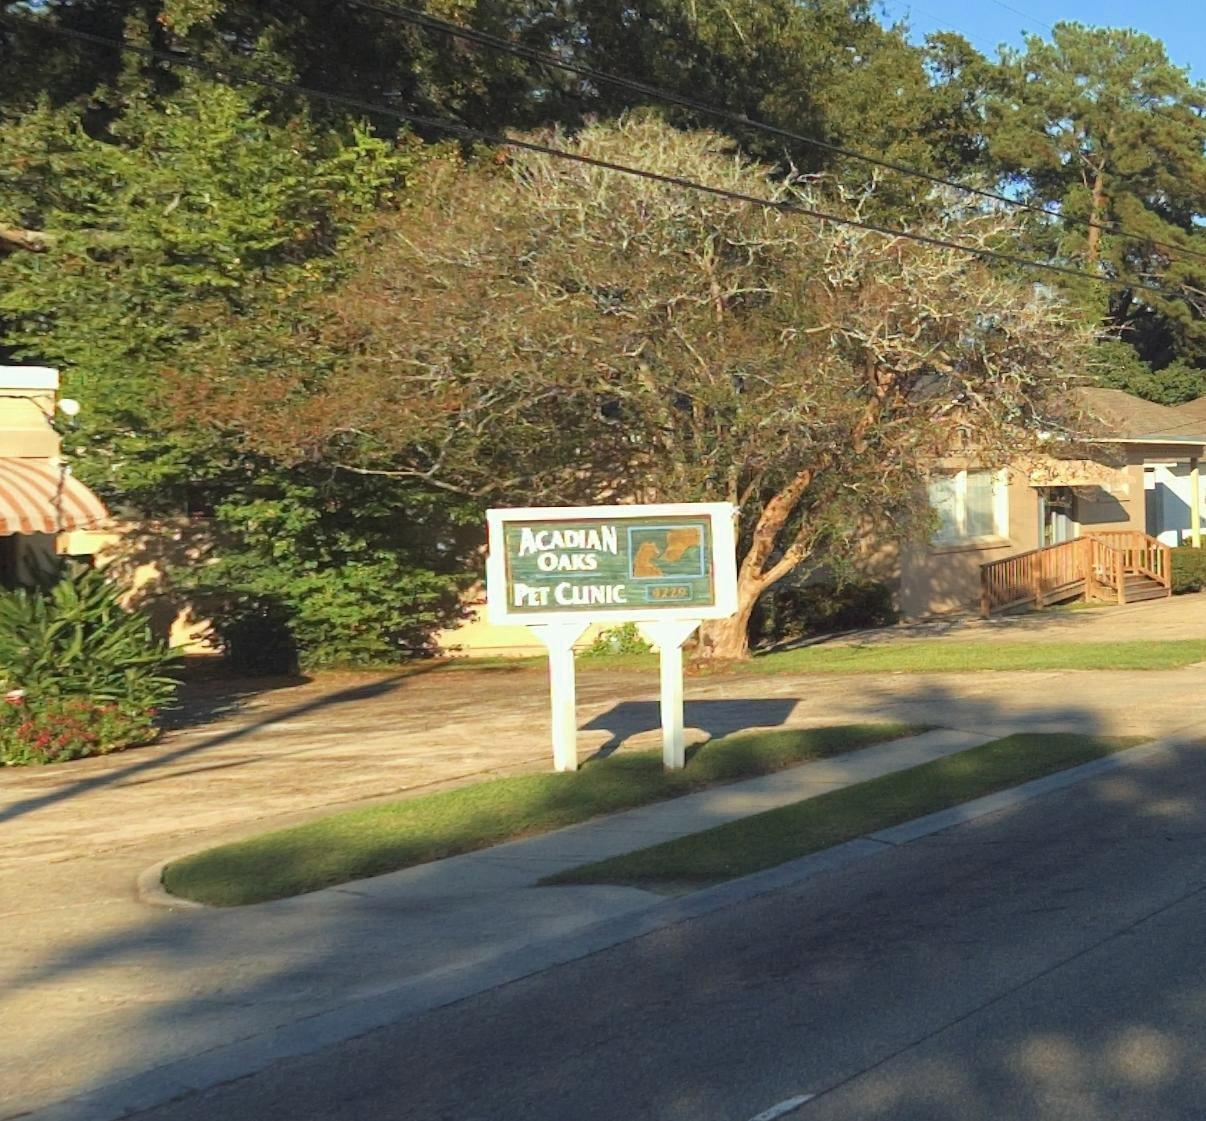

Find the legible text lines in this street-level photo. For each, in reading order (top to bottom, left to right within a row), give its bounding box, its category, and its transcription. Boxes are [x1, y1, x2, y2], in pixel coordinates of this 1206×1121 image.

[516, 524, 621, 559] BusinessName: ACADIAN
[536, 550, 602, 571] BusinessName: OAKS
[513, 582, 629, 608] BusinessName: PET CLINIC
[651, 586, 689, 599] StreetNumber: 4729